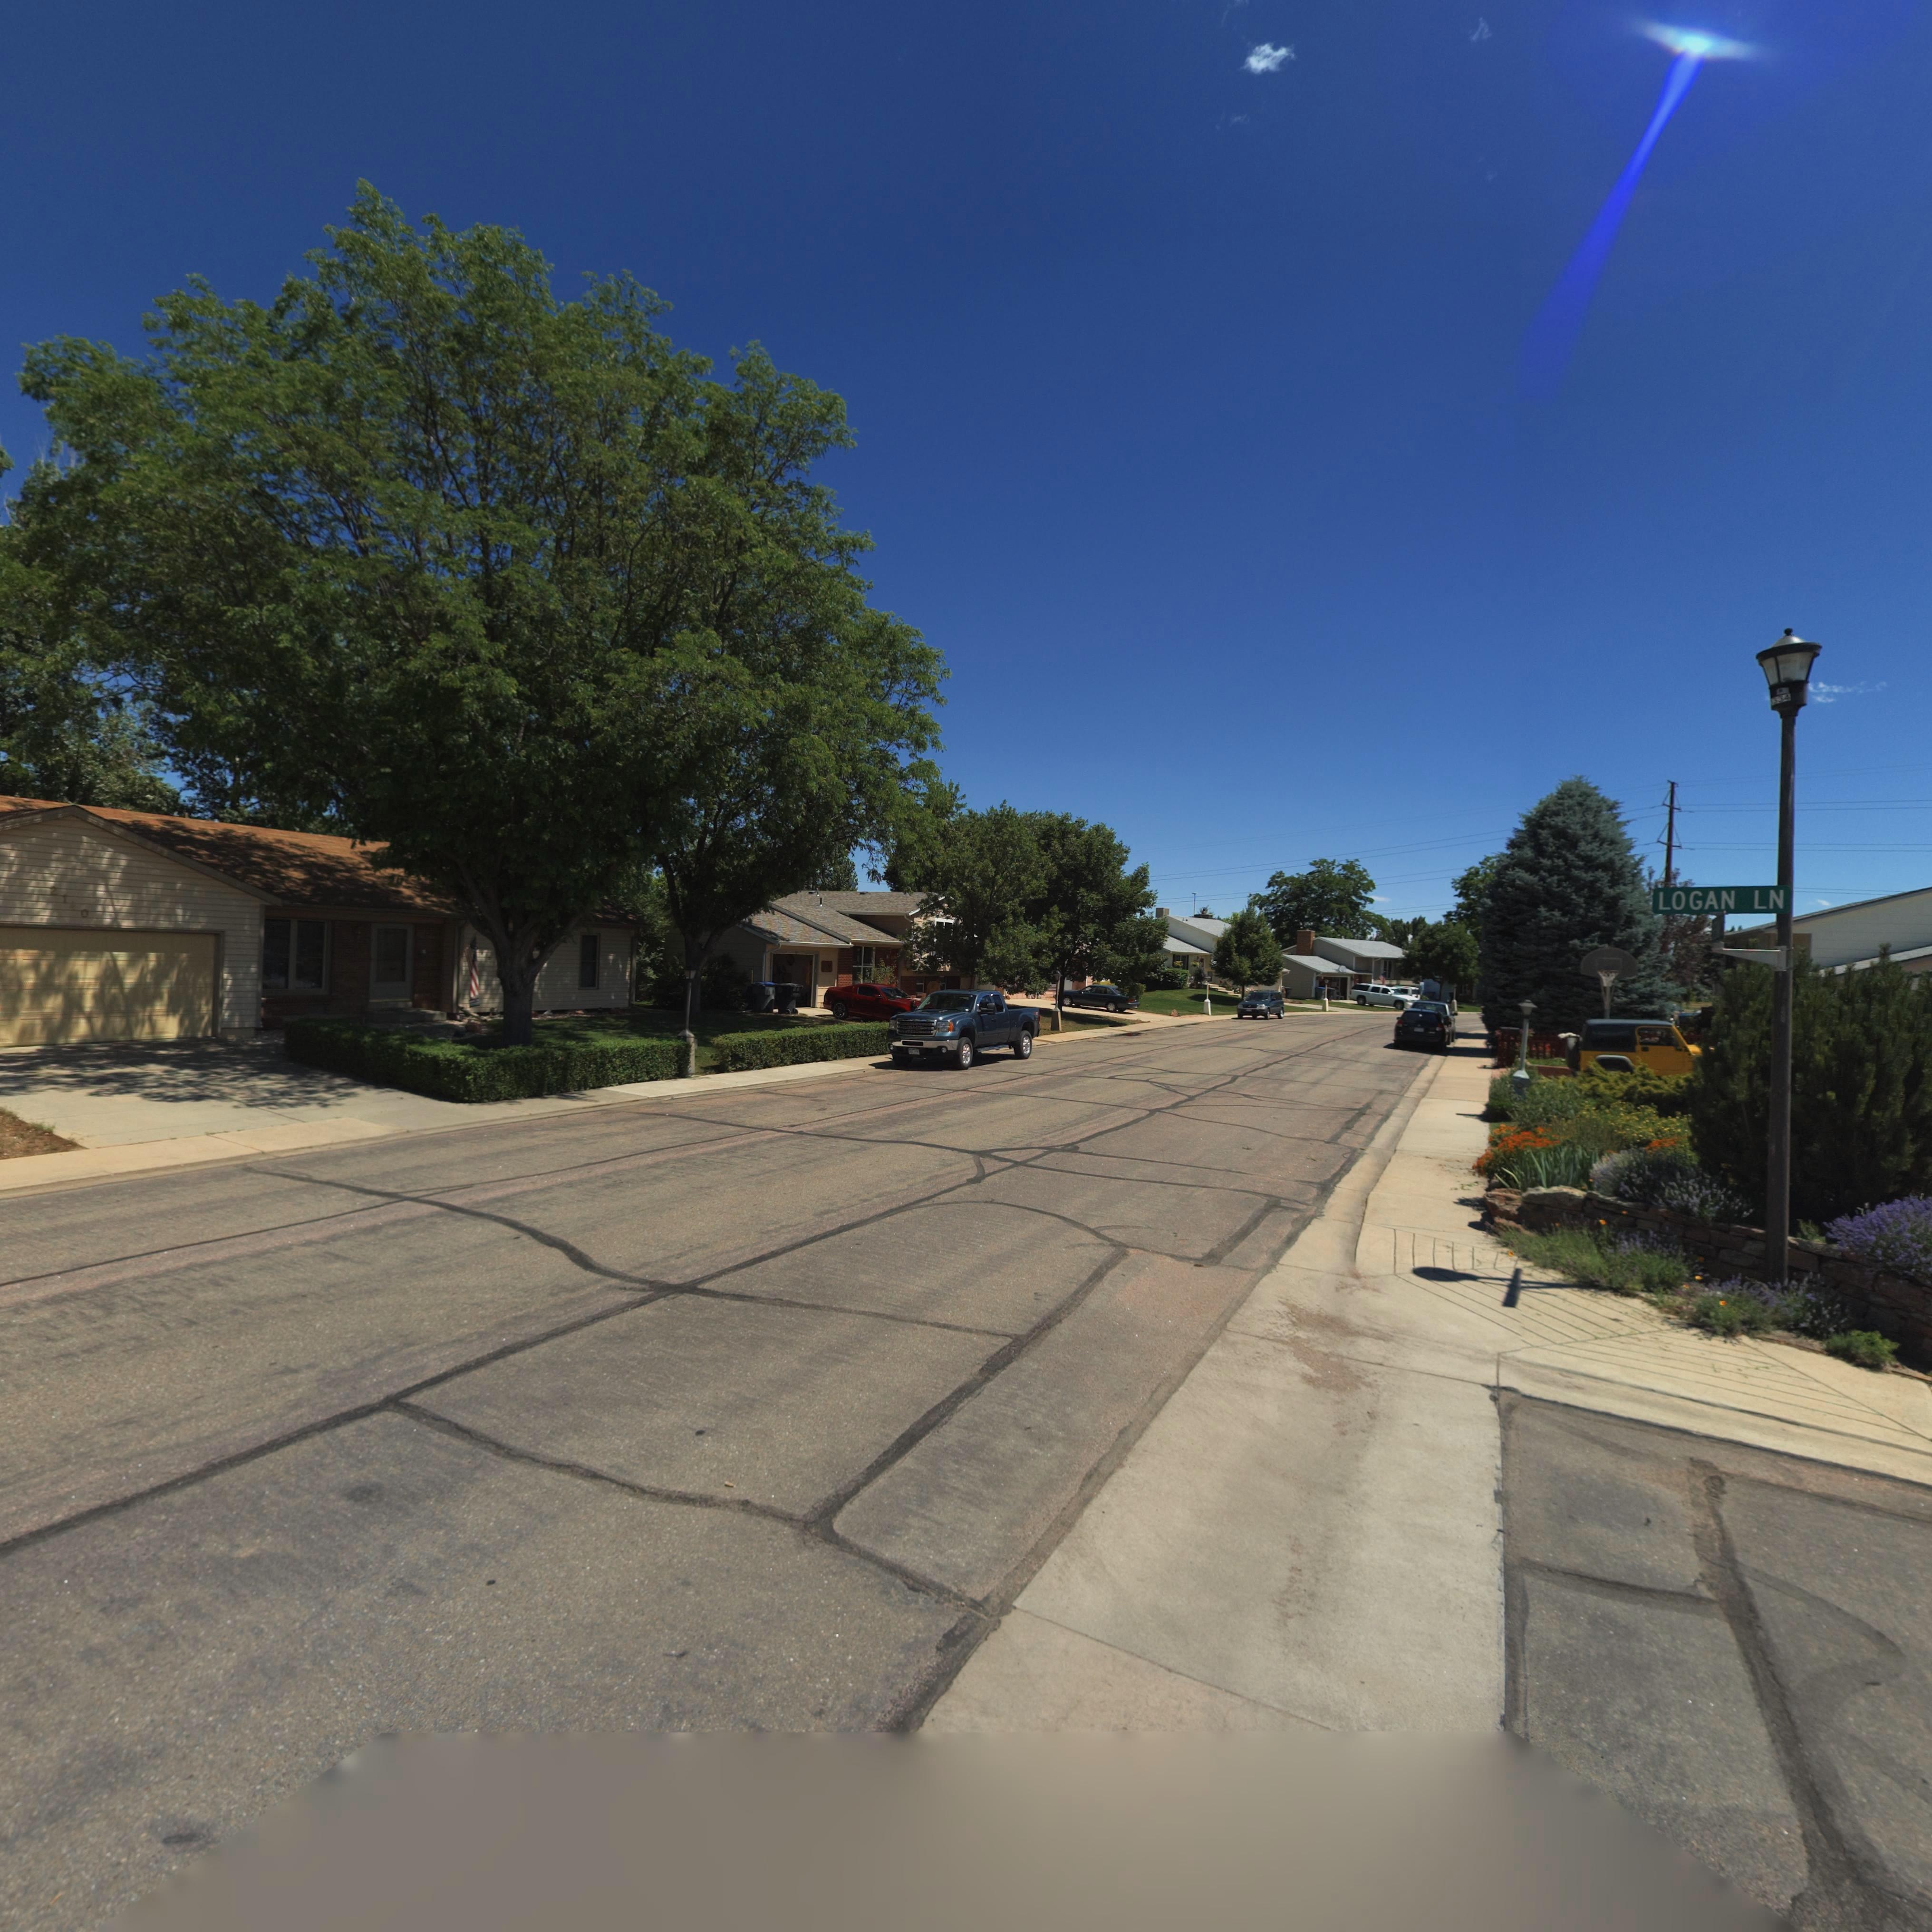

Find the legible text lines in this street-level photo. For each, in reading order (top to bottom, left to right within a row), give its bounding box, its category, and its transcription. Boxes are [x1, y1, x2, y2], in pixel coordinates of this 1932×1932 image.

[49, 887, 89, 918] StreetNumber: 21*0
[1658, 889, 1784, 910] StreetName: LOGAN LN